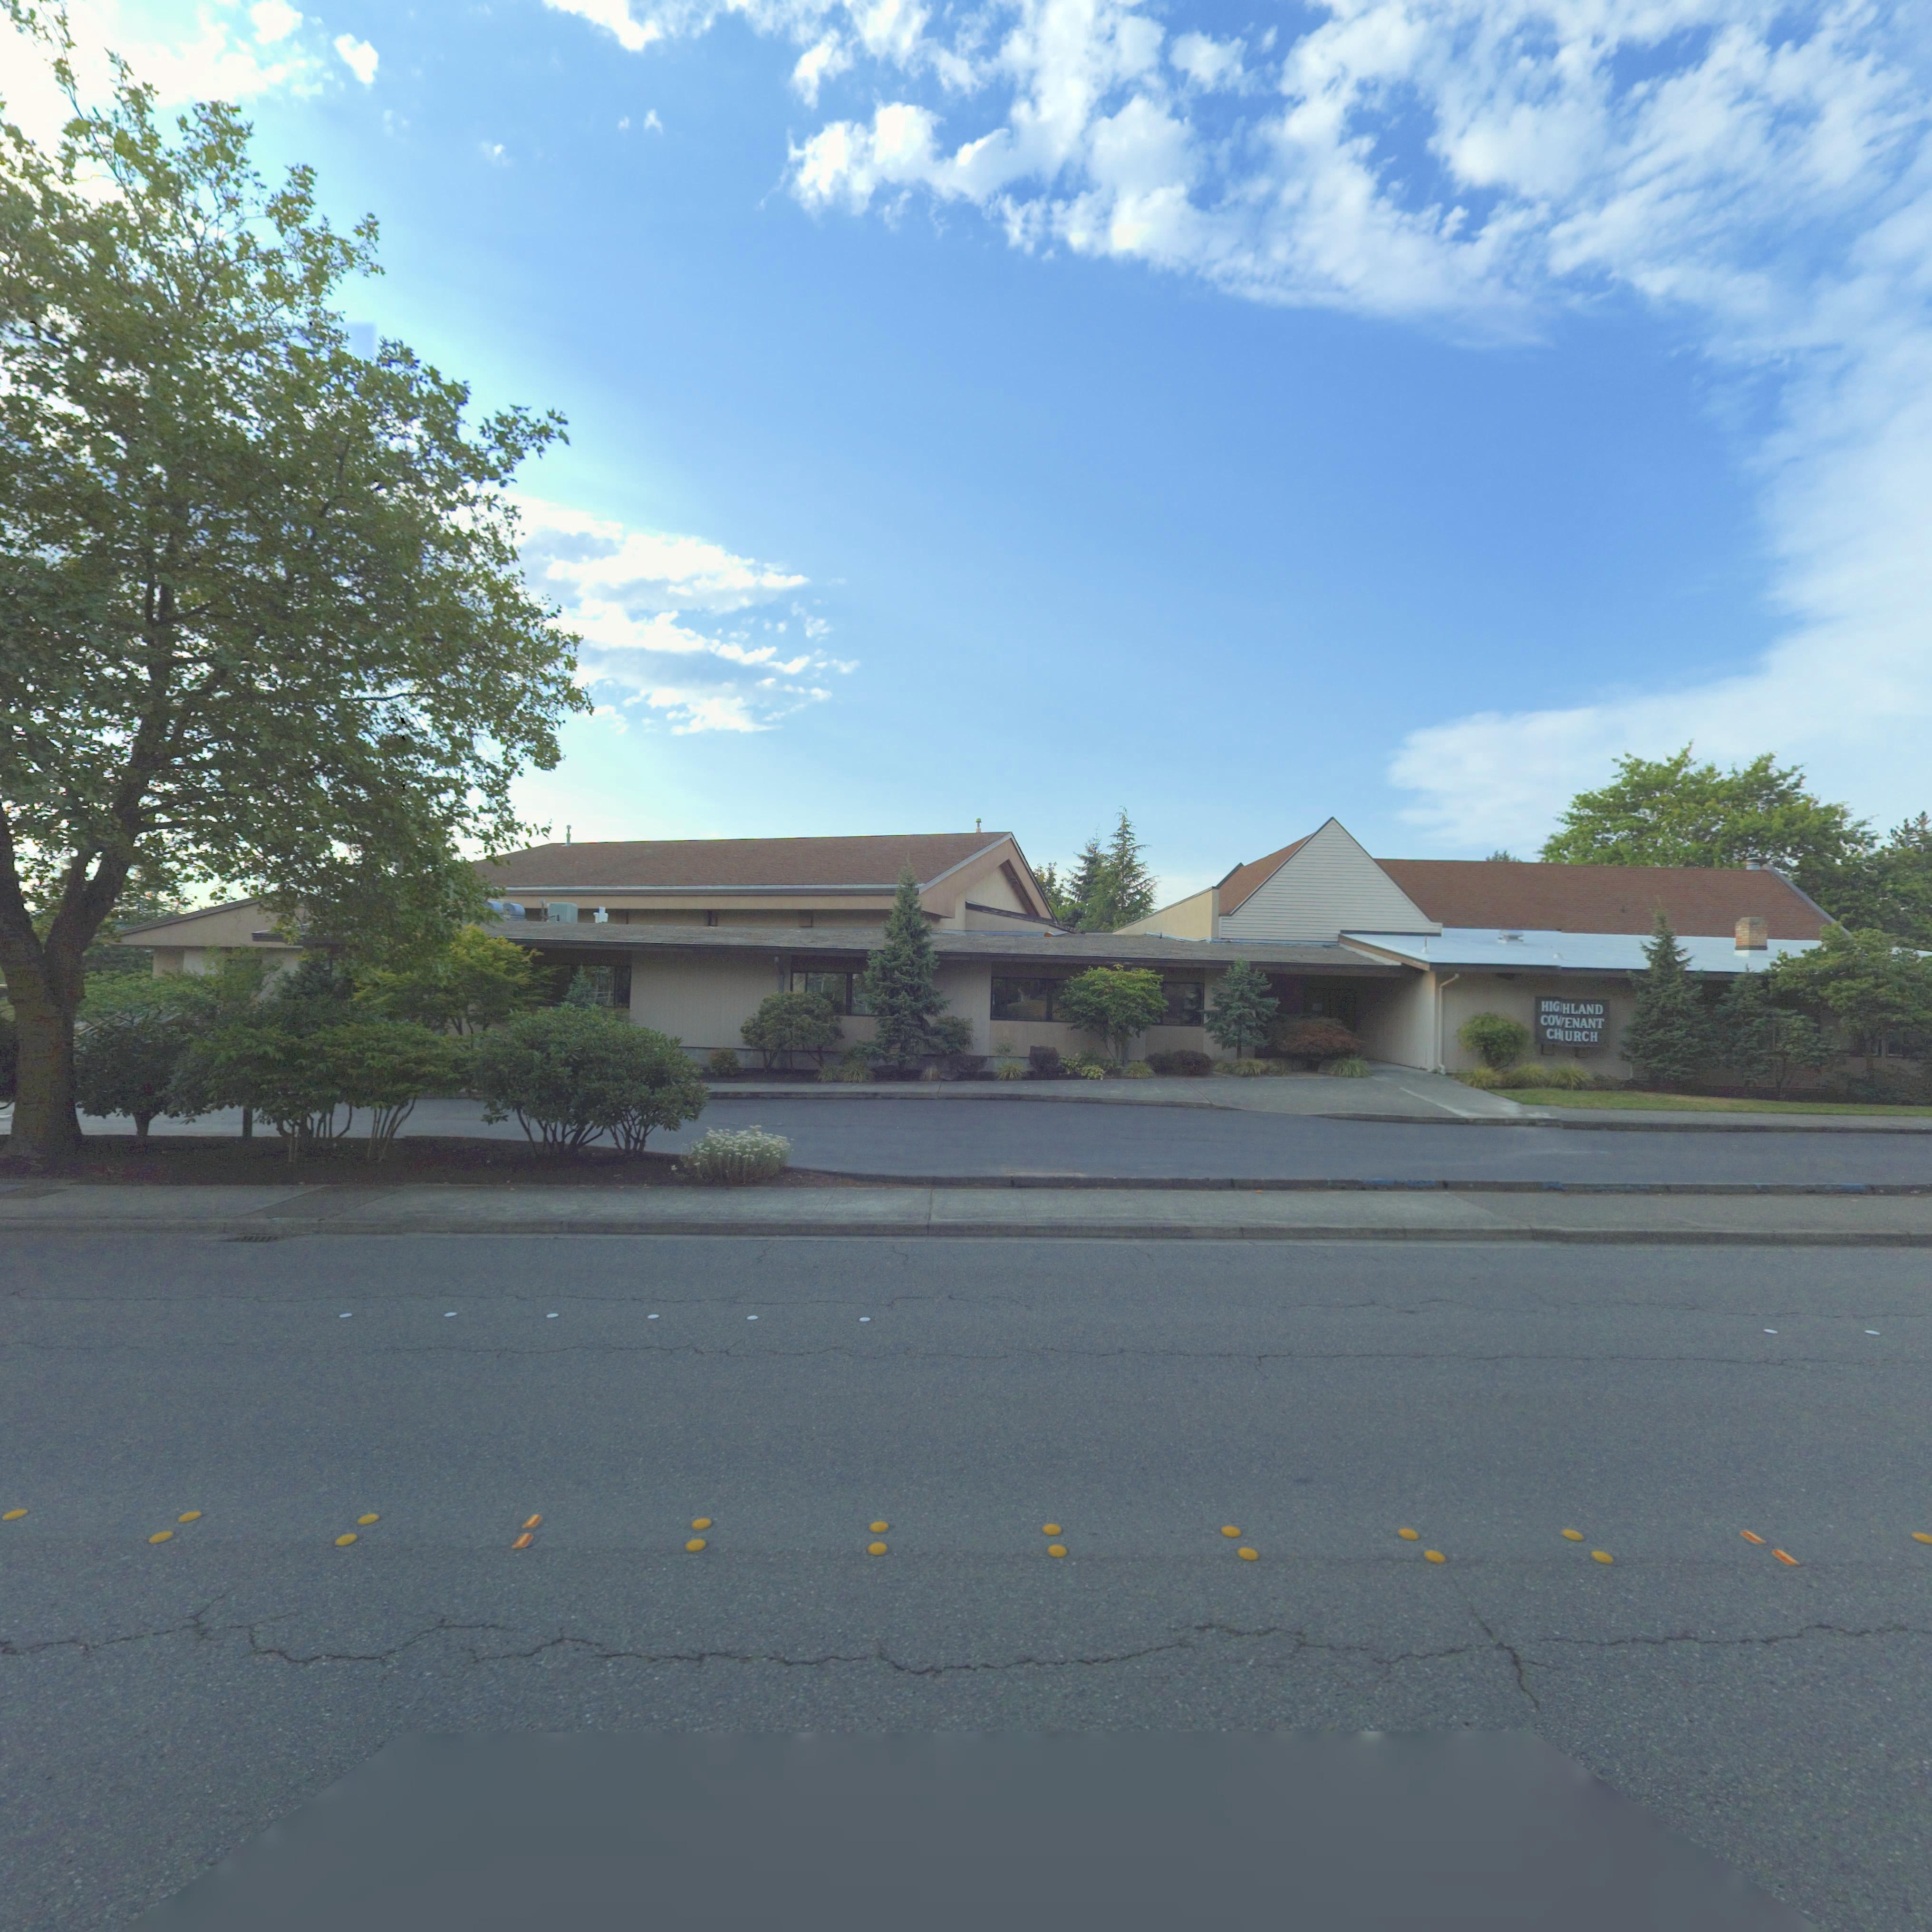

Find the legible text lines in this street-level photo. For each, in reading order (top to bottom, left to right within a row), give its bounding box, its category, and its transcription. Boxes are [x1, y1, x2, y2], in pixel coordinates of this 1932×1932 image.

[1541, 1001, 1604, 1014] BusinessName: HIGHLAND
[1540, 1014, 1604, 1029] BusinessName: COVENANT
[1546, 1028, 1600, 1043] BusinessName: CHURCH